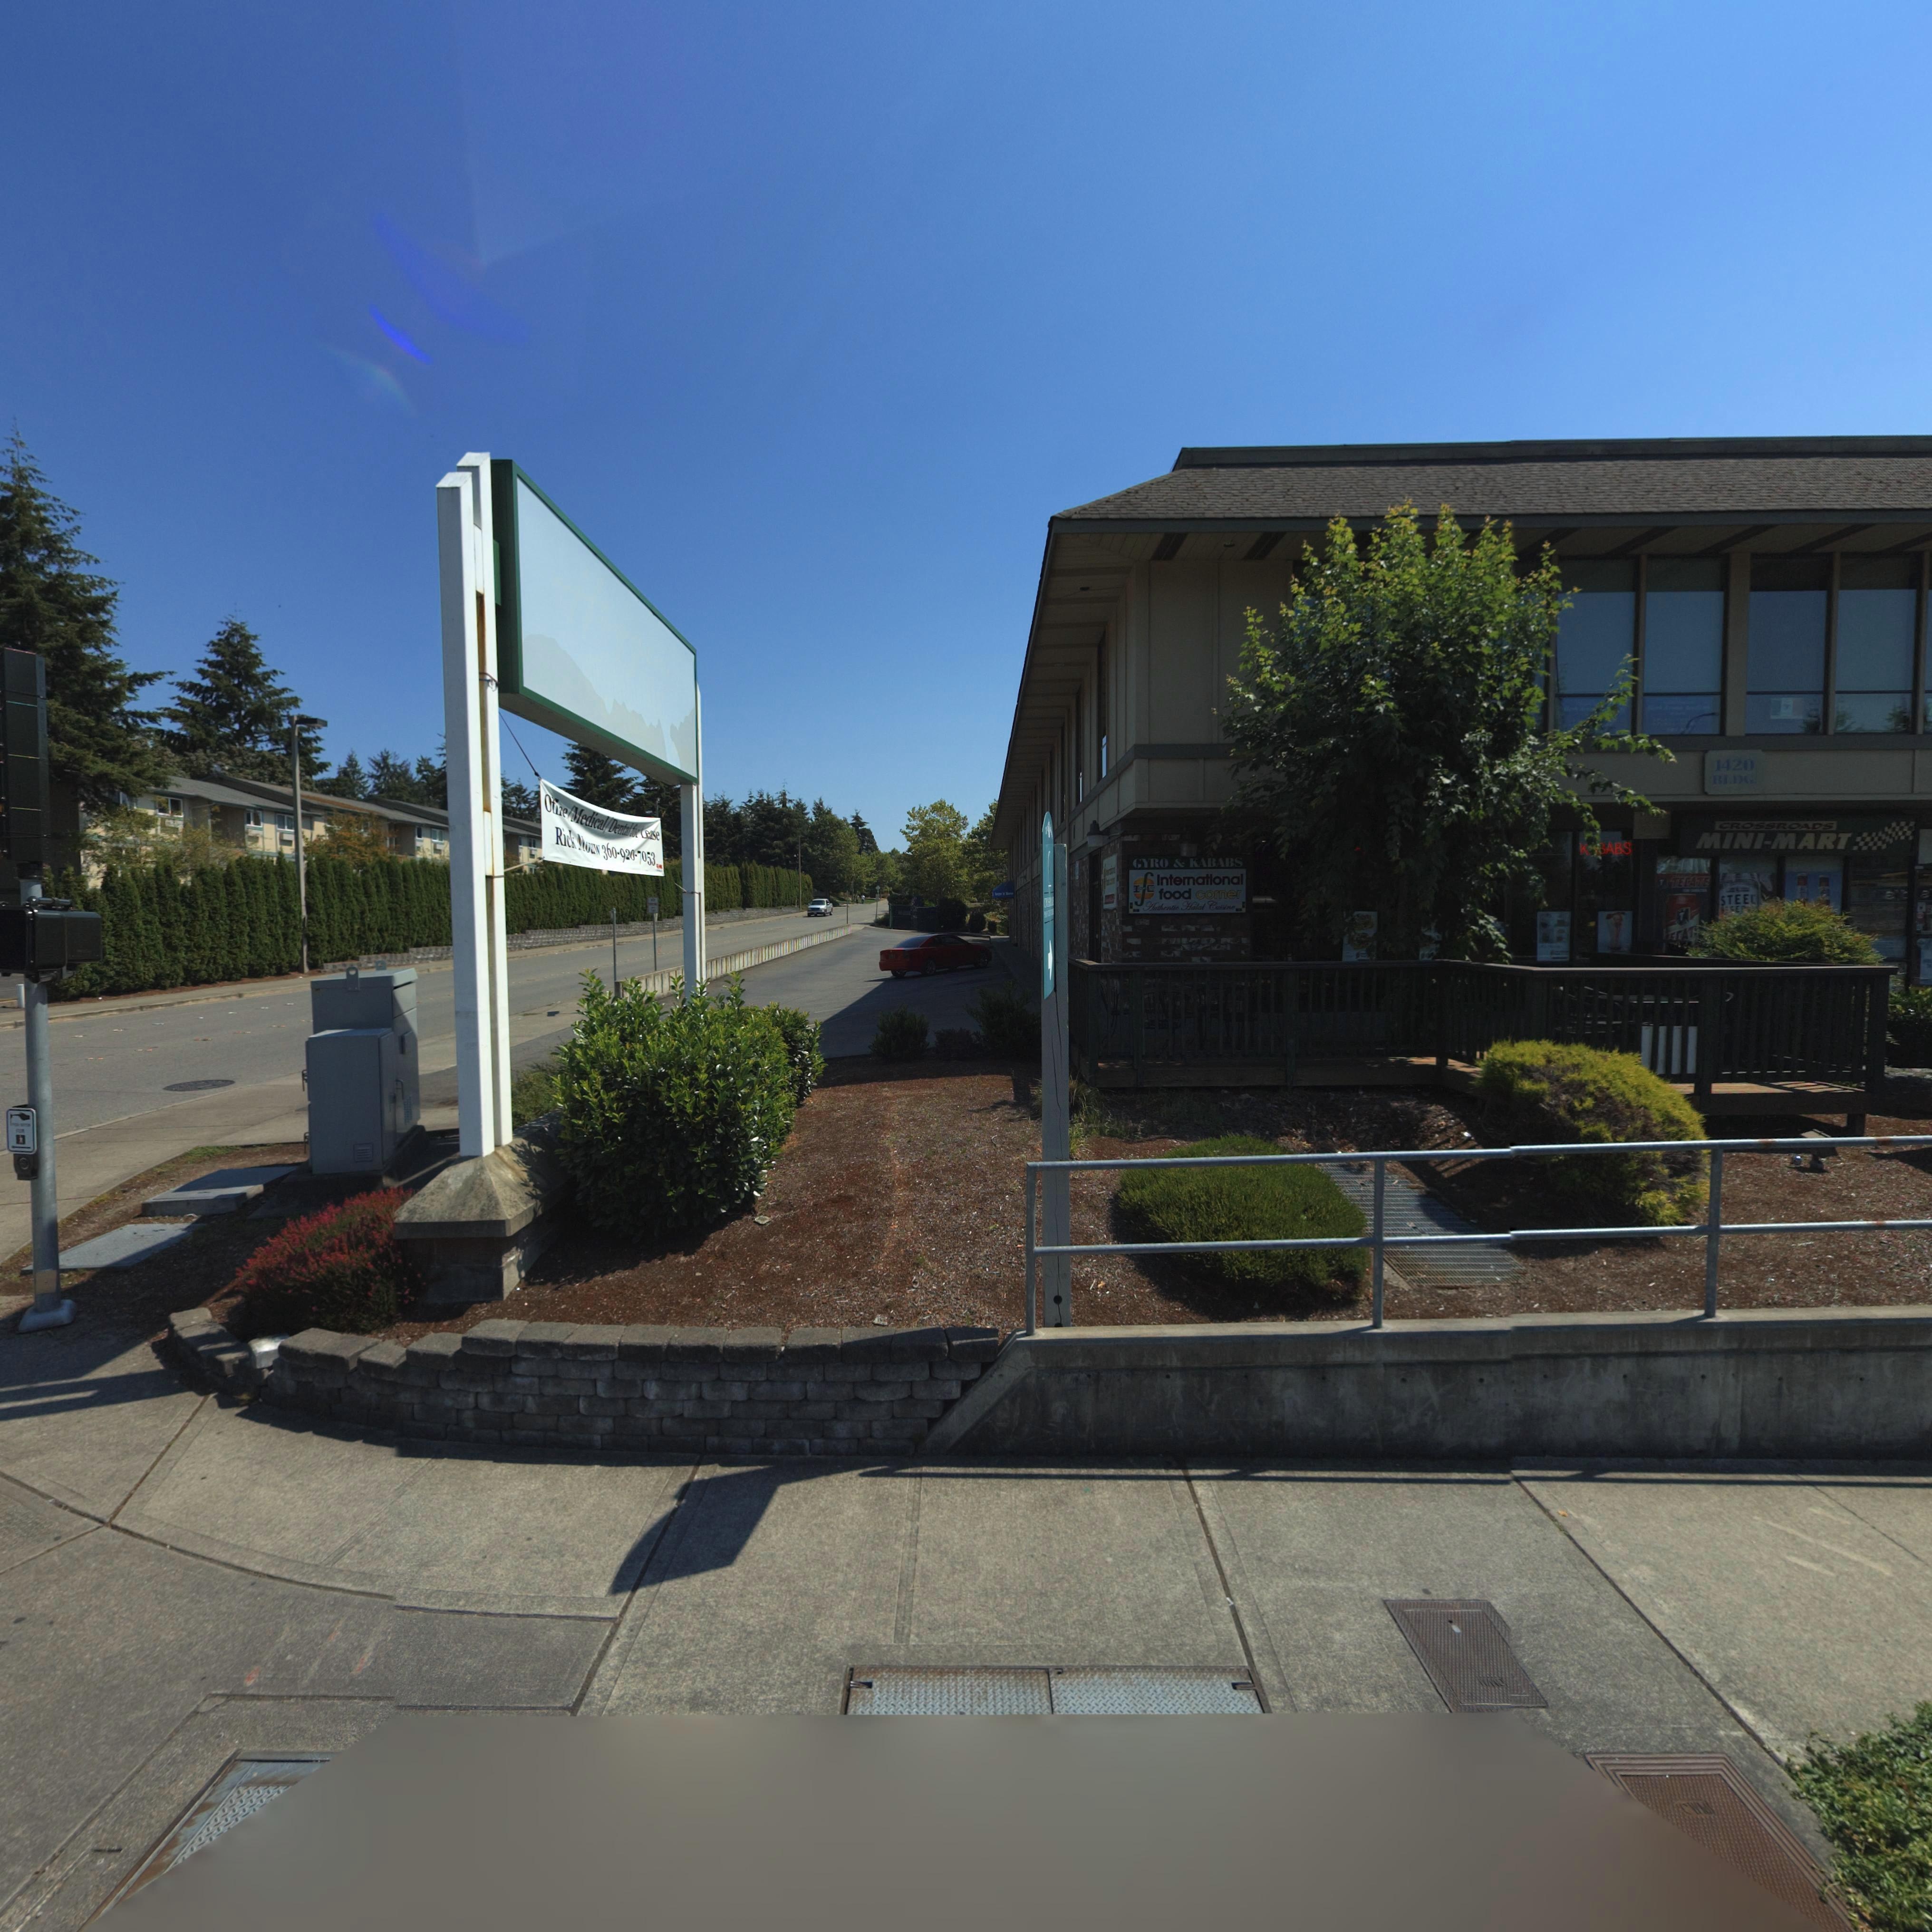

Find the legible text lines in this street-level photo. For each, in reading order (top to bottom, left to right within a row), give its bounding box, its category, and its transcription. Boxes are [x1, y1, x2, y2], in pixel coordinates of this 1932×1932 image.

[1714, 758, 1754, 772] StreetNumber: 1420
[1719, 821, 1834, 830] BusinessName: CROSSROADS
[1695, 831, 1852, 850] BusinessName: MINI-MART
[1156, 871, 1244, 886] BusinessName: International
[1158, 887, 1191, 900] BusinessName: food
[1197, 889, 1242, 900] BusinessName: corner